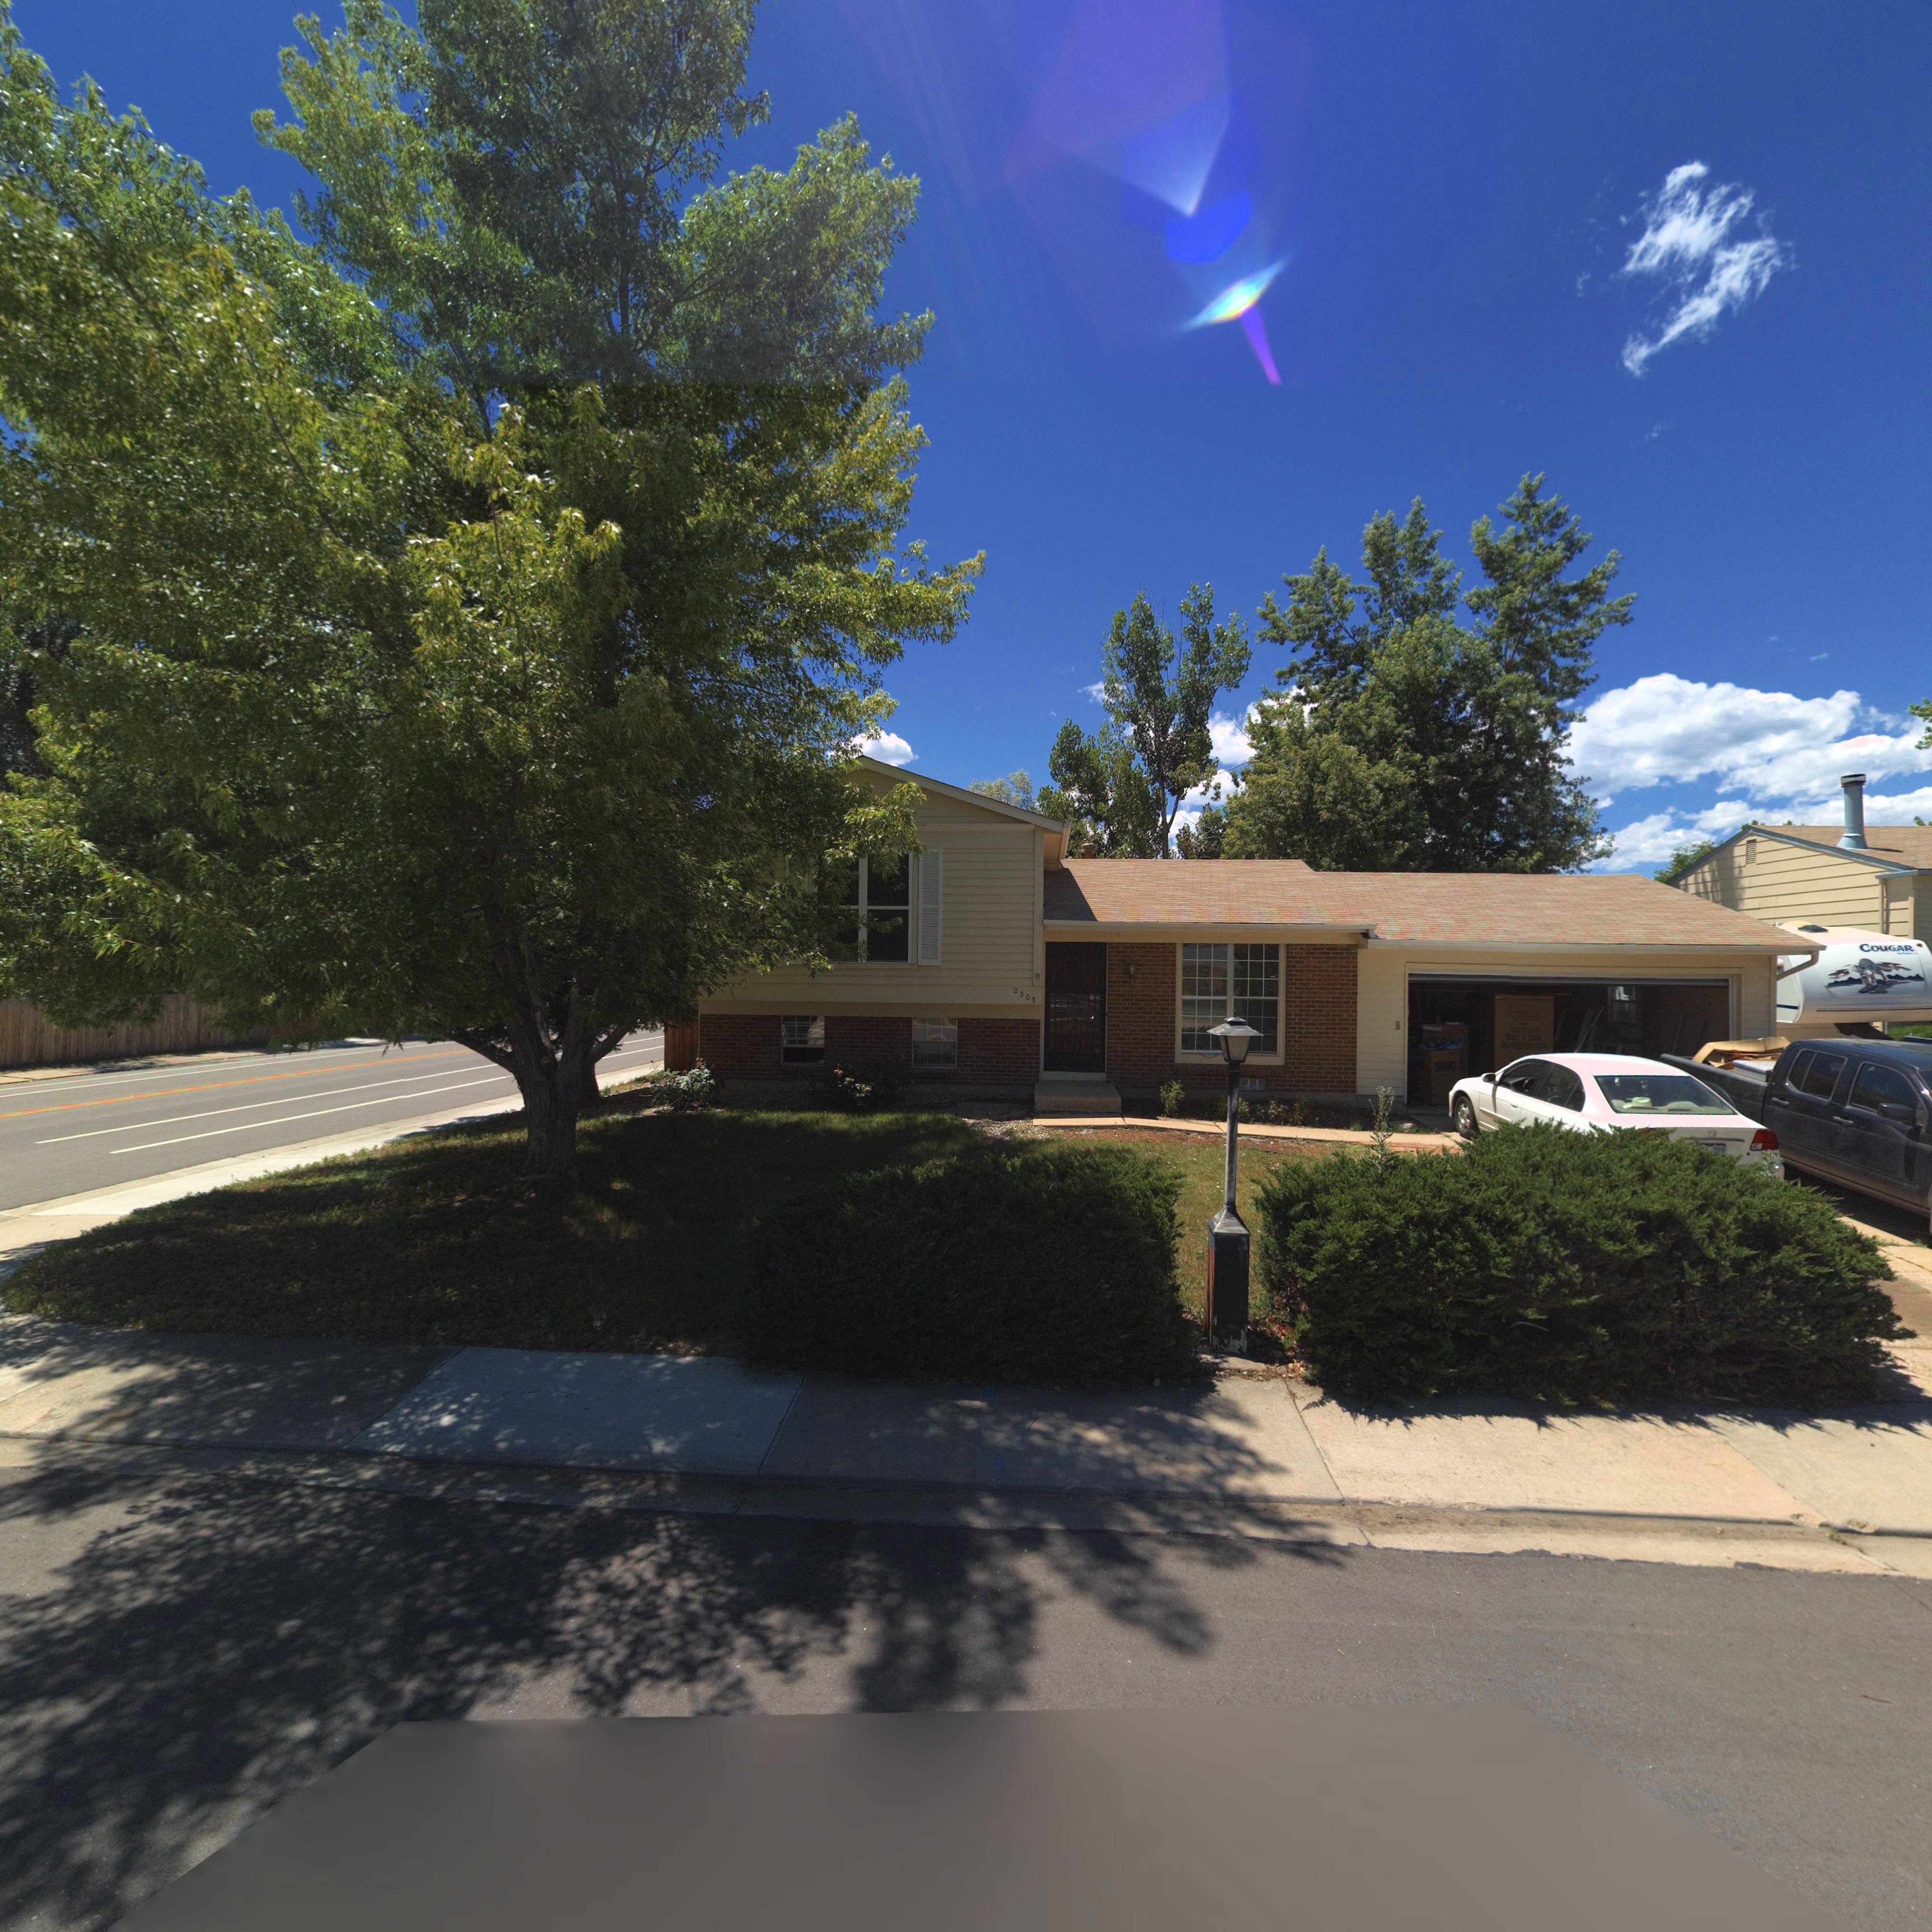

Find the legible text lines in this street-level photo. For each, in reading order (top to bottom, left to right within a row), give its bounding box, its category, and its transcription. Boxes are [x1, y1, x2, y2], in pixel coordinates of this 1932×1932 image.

[1013, 987, 1036, 1003] StreetNumber: 2303